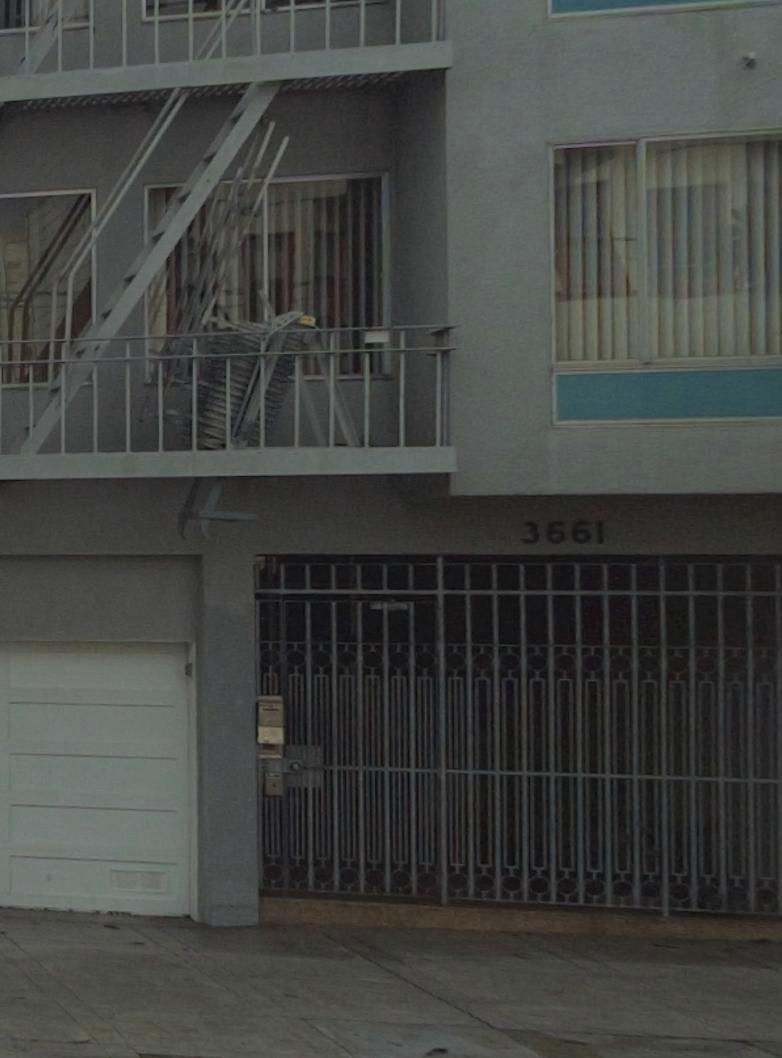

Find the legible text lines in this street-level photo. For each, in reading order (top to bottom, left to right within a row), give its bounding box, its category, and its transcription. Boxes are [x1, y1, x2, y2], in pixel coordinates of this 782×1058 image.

[519, 518, 607, 546] StreetNumber: 3661